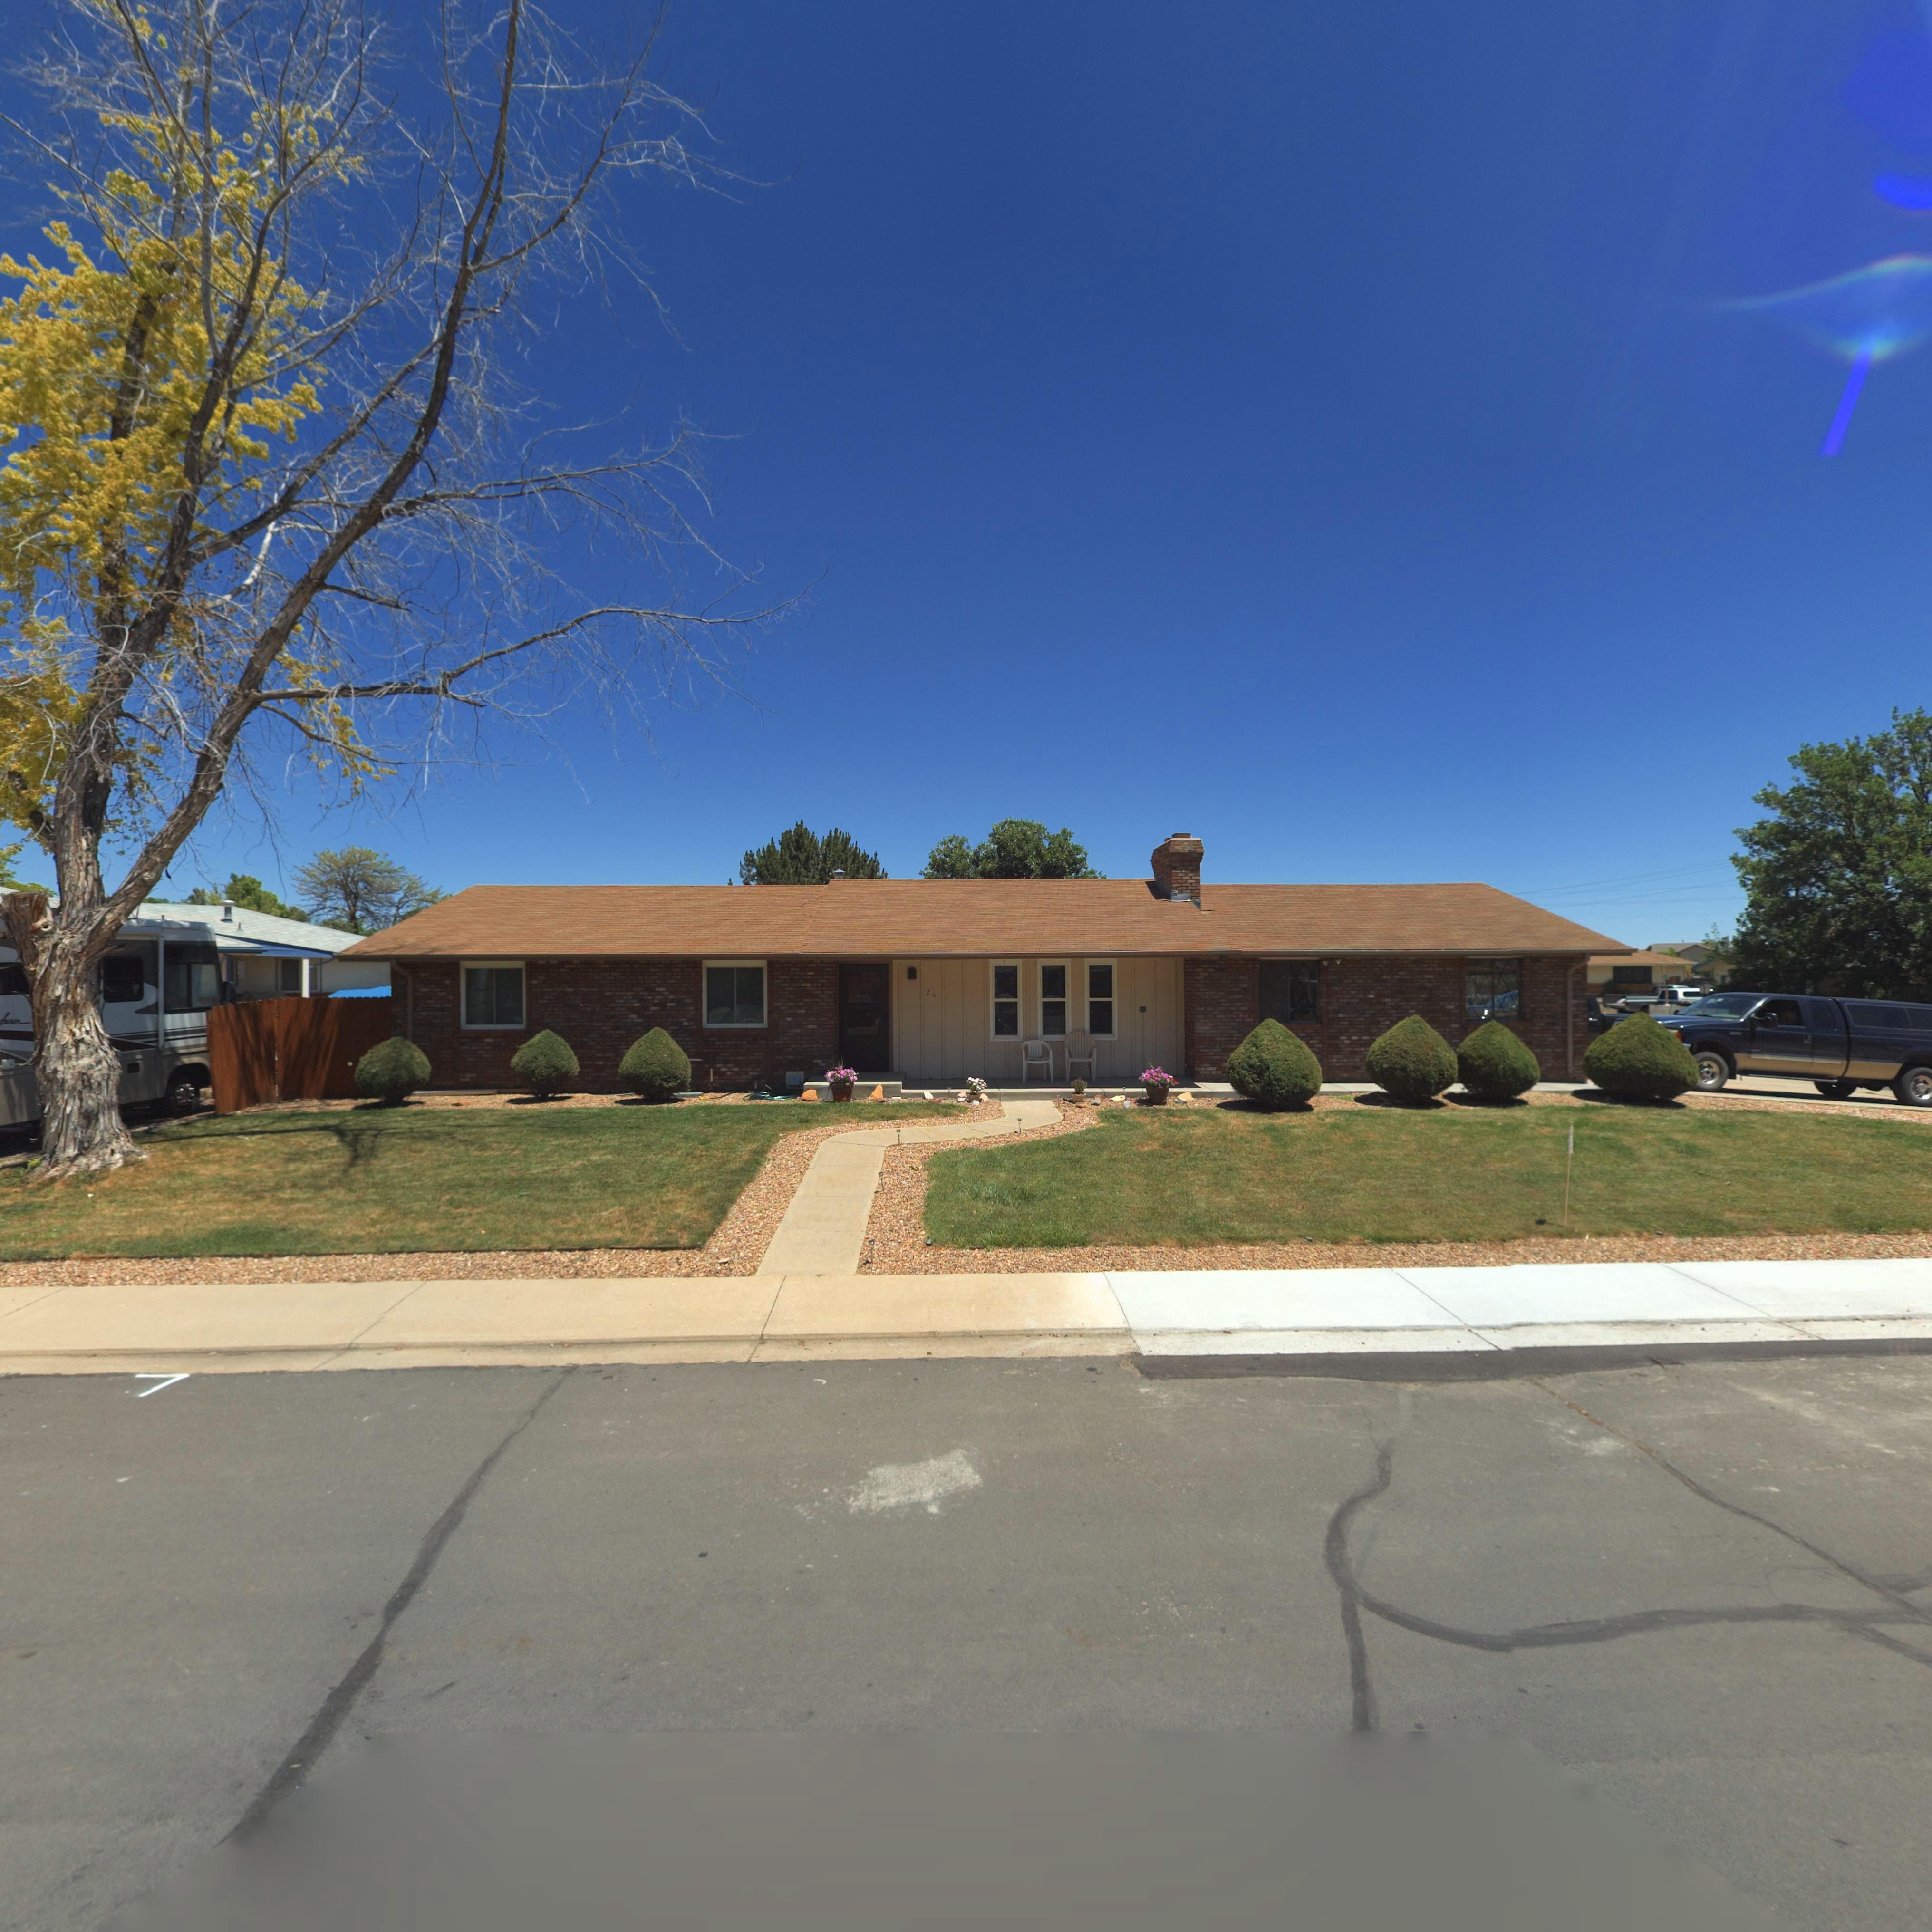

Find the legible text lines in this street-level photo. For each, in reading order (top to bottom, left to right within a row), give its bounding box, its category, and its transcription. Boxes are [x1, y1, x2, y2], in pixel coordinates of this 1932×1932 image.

[926, 988, 936, 998] StreetNumber: 26